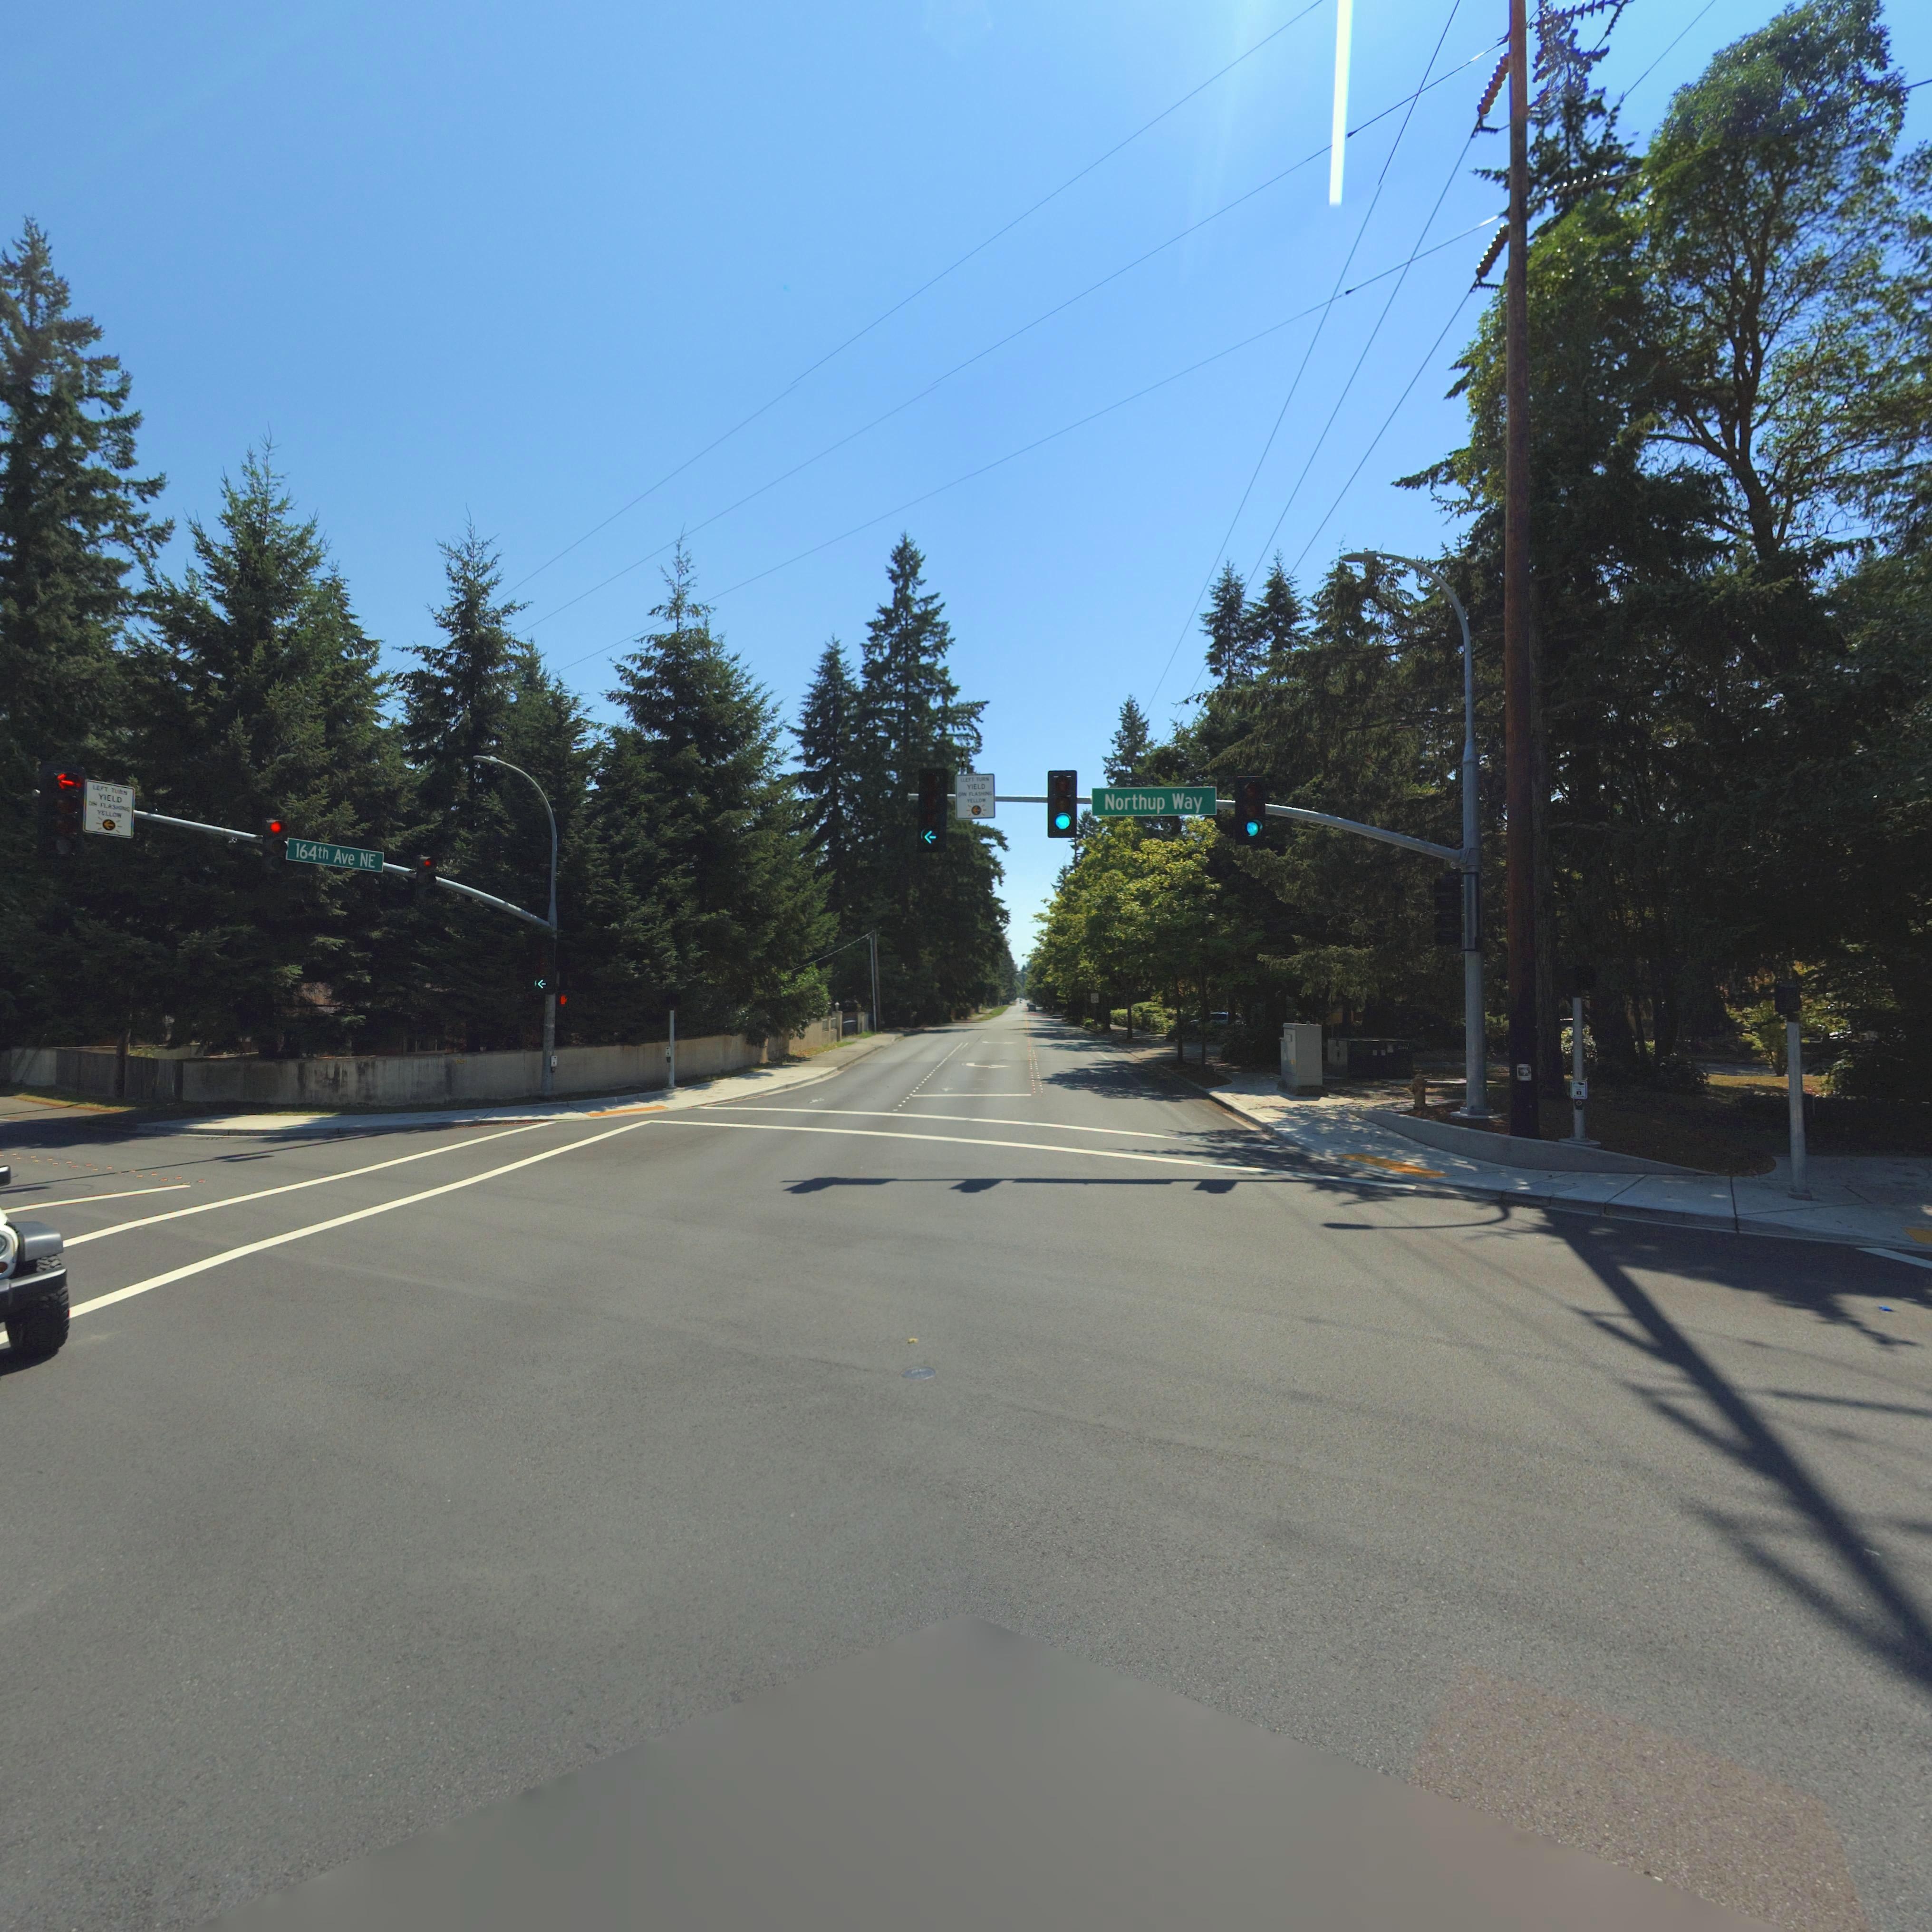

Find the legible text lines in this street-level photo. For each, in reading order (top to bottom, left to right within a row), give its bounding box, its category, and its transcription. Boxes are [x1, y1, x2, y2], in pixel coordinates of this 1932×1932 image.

[1103, 791, 1204, 814] StreetName: Northup Way
[294, 841, 377, 869] StreetName: 164th Ave NE